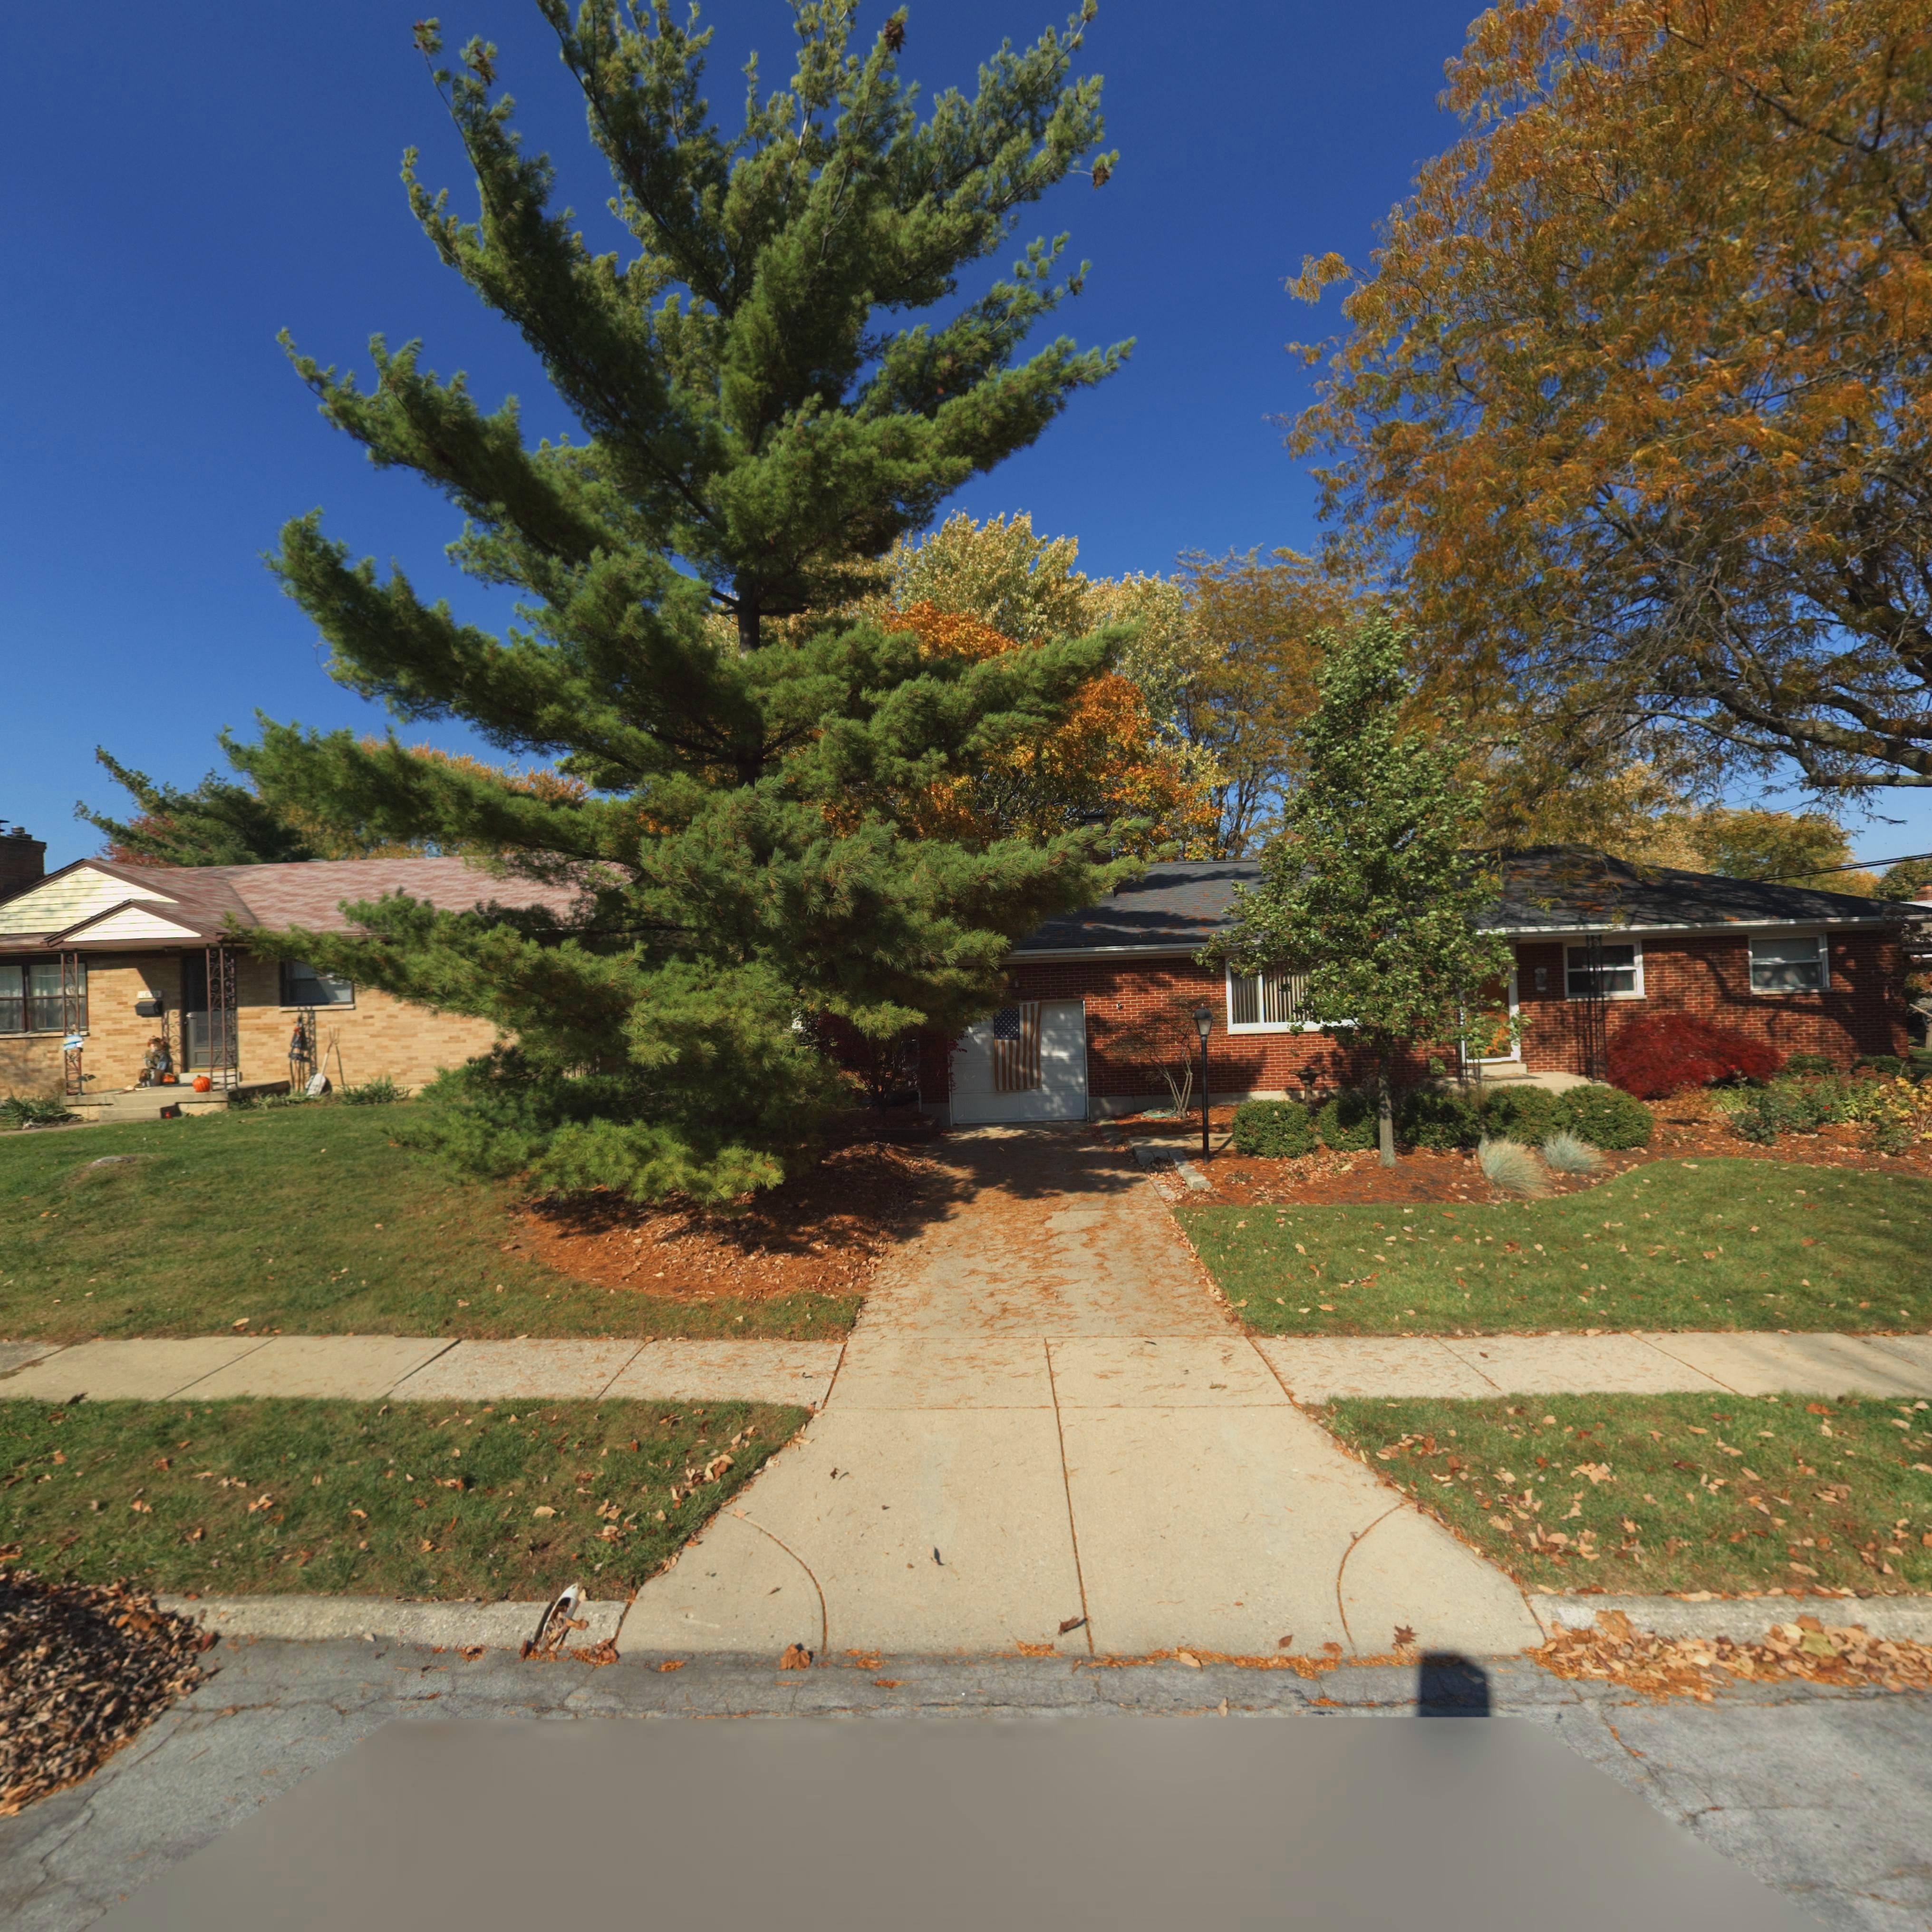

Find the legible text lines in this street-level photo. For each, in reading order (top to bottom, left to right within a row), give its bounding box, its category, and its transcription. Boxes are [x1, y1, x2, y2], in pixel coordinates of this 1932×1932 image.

[142, 991, 158, 998] StreetNumber: 1059